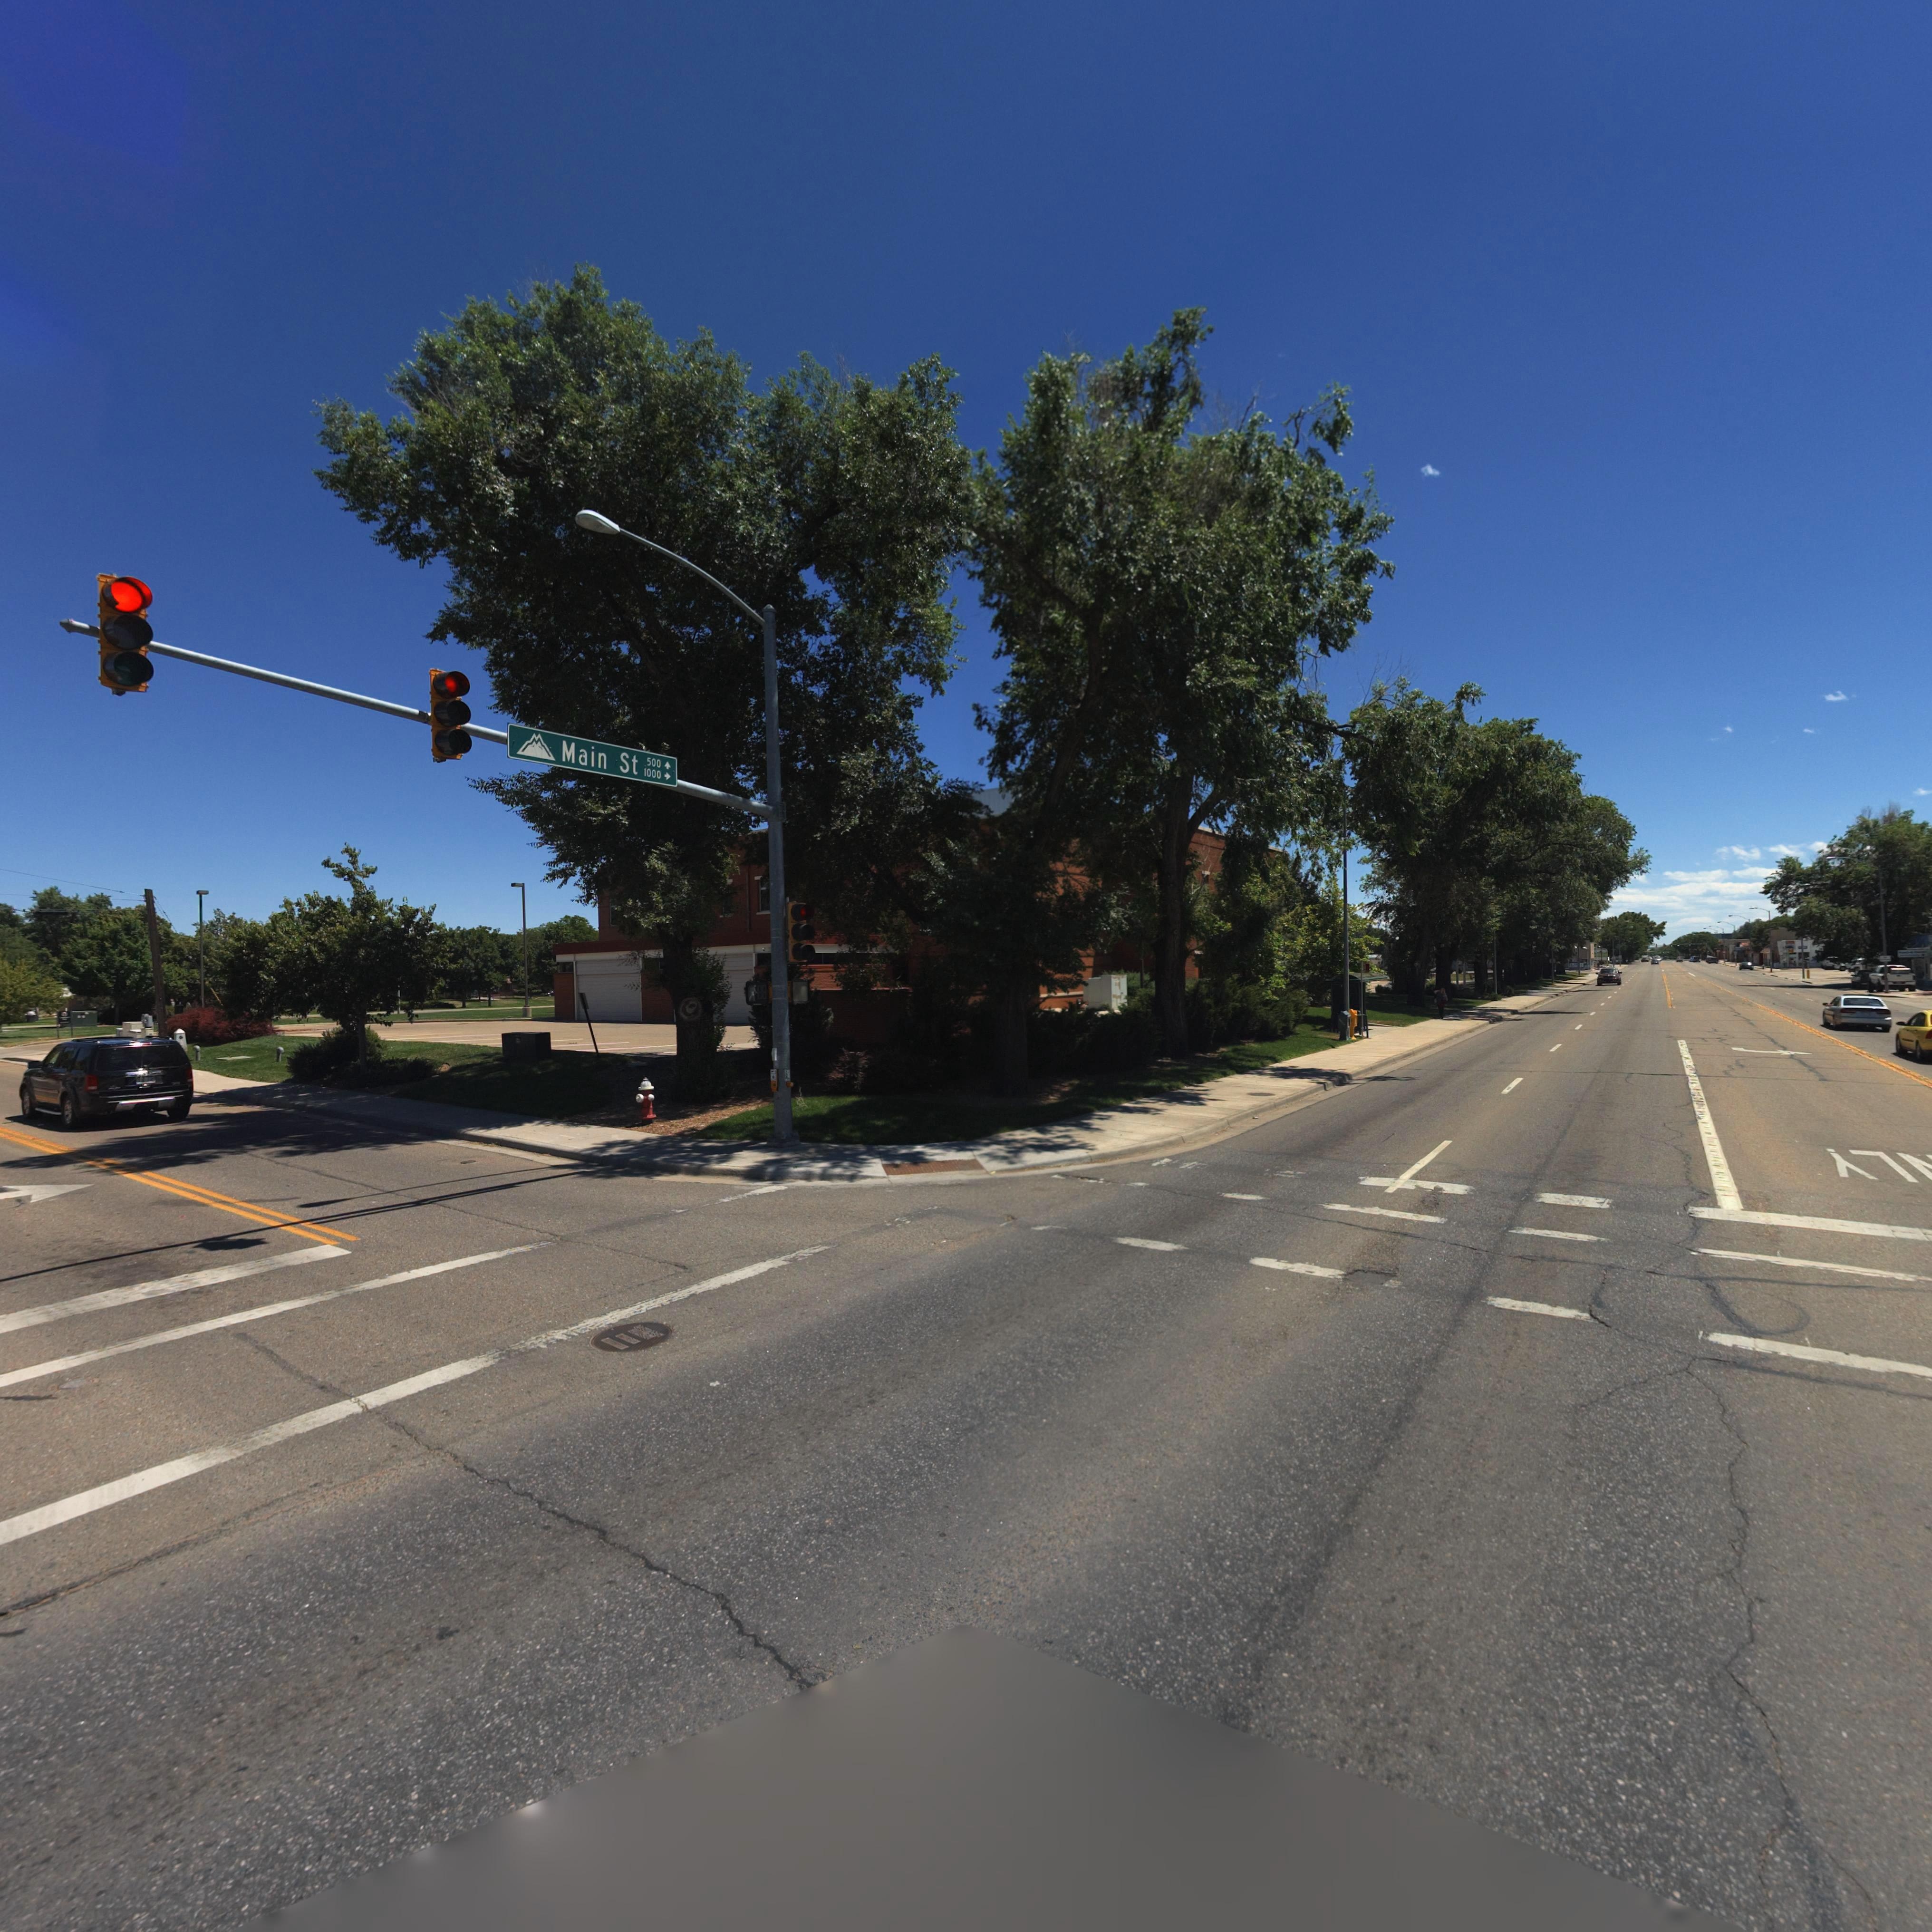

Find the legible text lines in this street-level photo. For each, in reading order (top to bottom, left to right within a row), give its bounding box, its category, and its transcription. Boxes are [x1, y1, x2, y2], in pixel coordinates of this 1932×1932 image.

[561, 739, 638, 776] StreetName: Main St
[646, 756, 661, 768] StreetNumber: 500
[644, 767, 672, 780] StreetNumberRange: 1000->